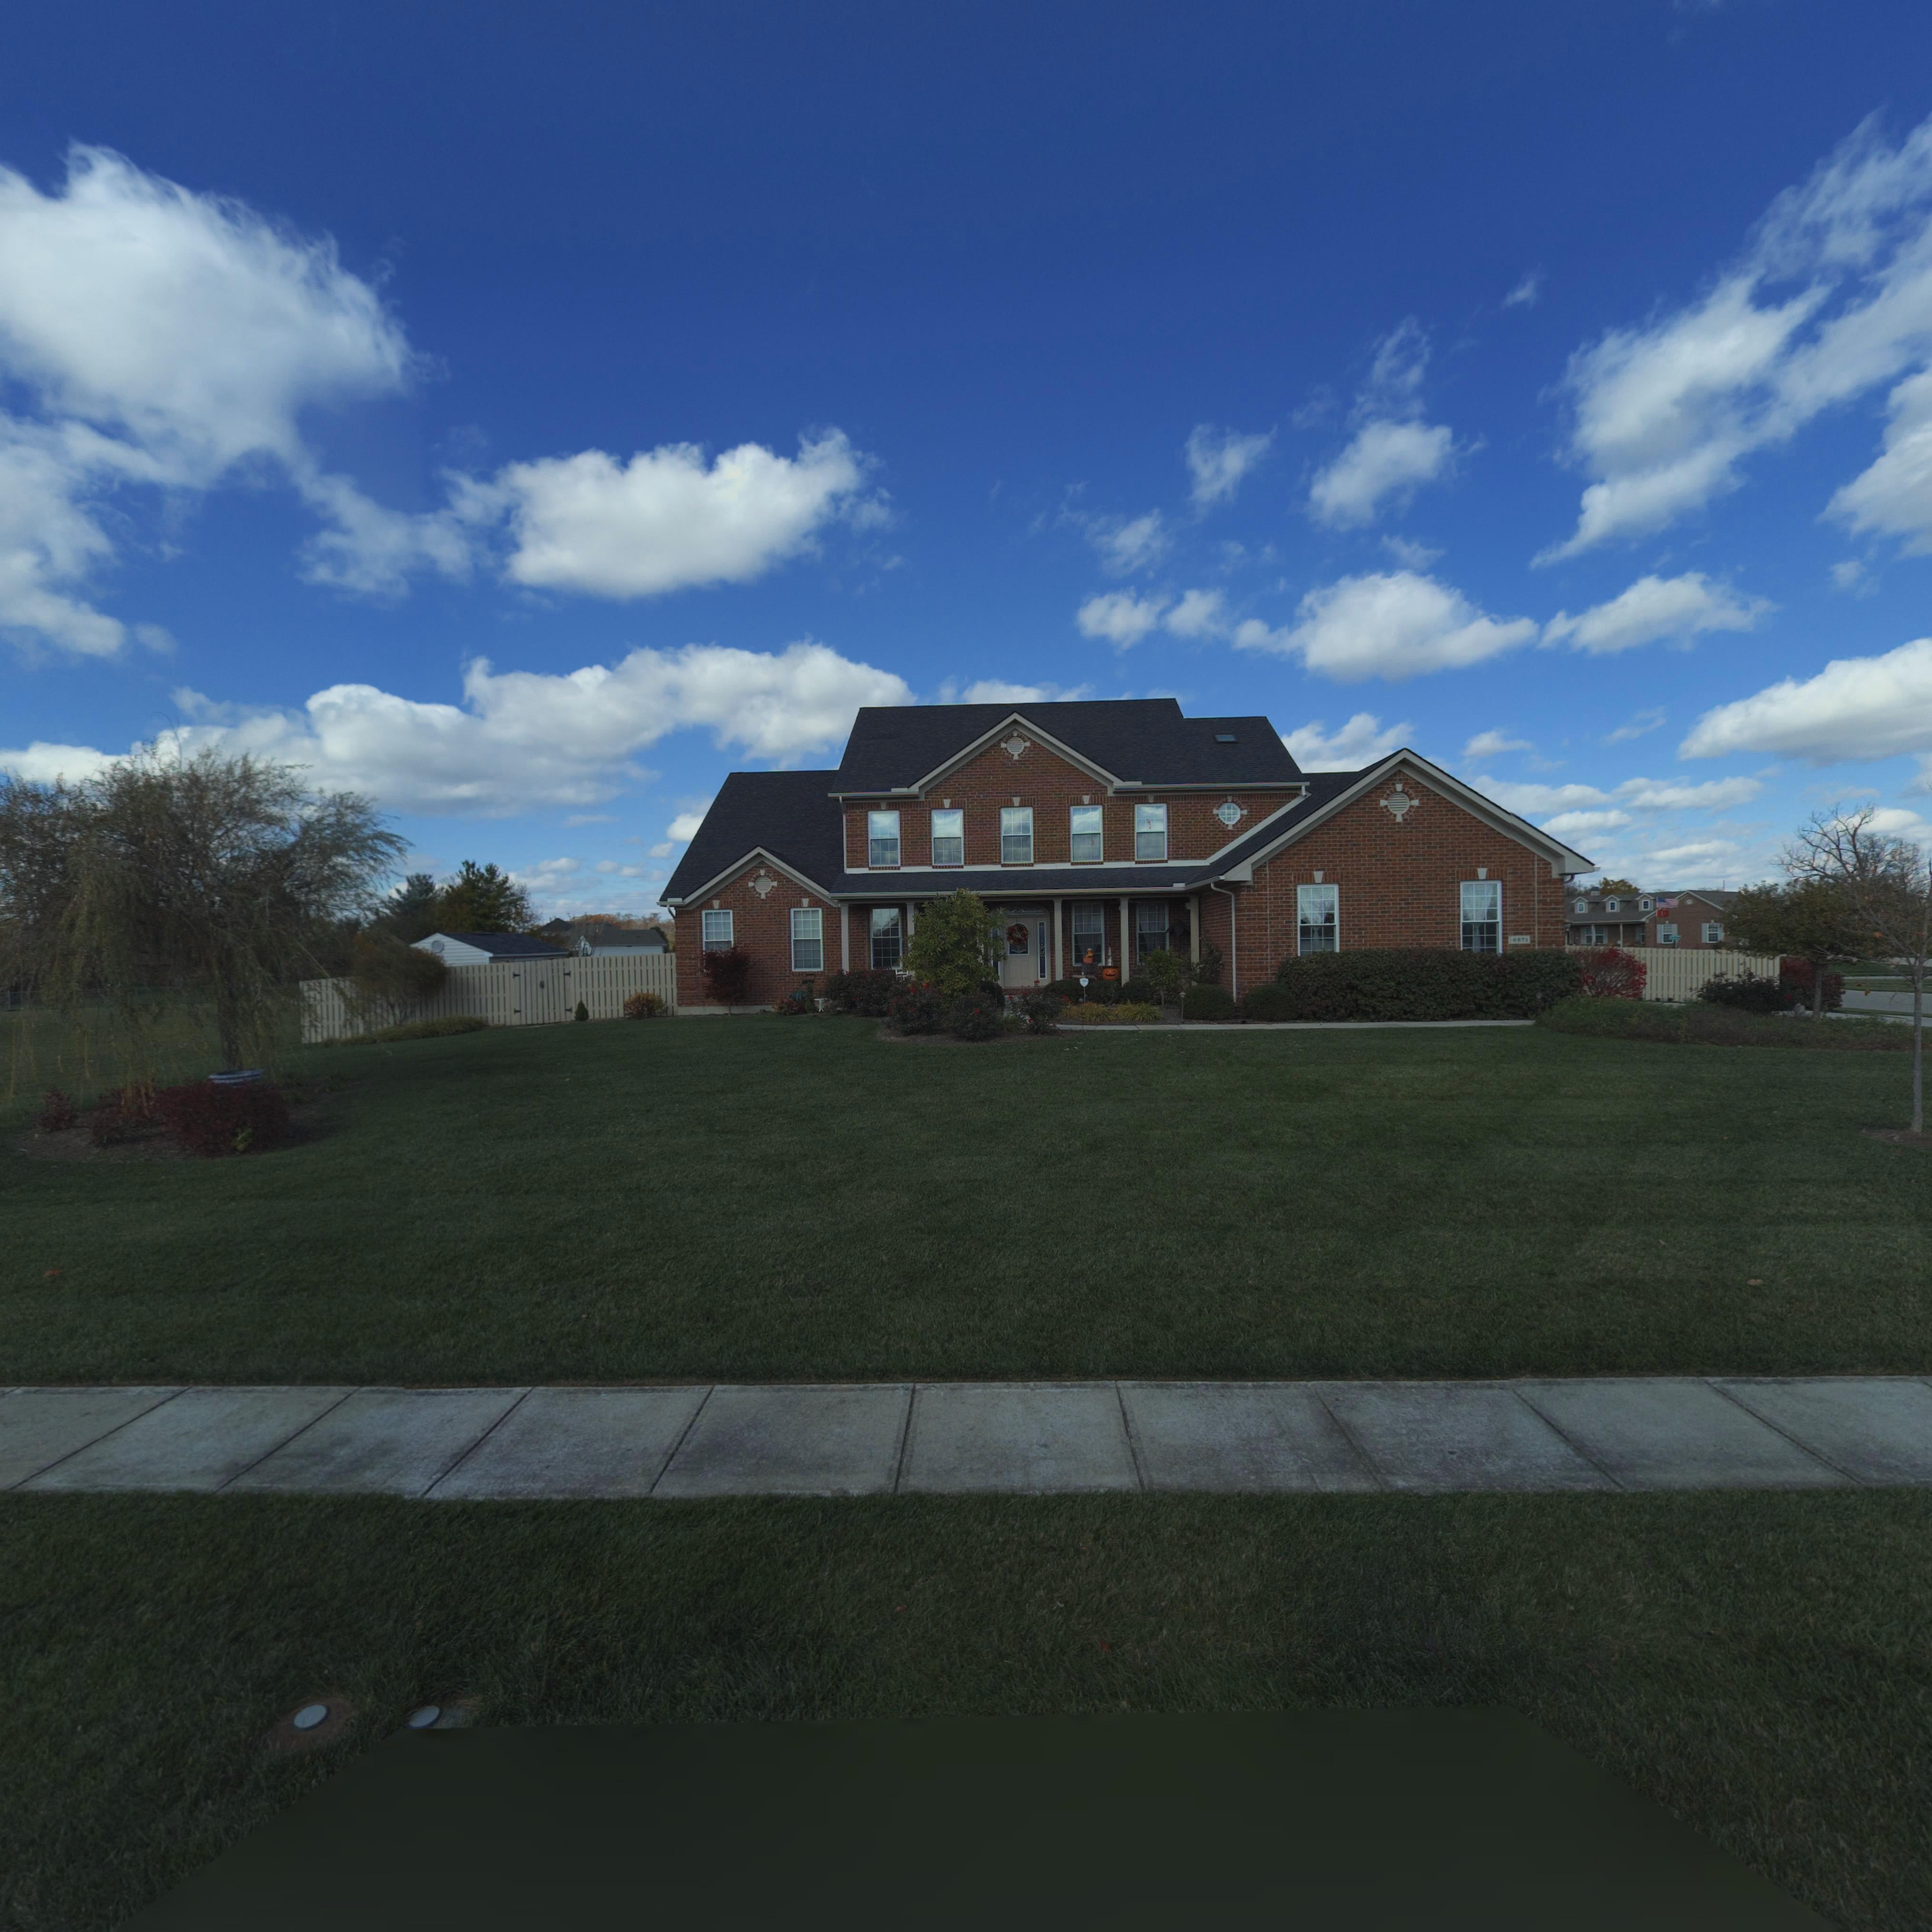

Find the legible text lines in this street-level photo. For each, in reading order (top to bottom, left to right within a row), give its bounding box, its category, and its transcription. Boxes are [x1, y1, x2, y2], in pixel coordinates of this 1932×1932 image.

[1511, 937, 1529, 943] StreetNumber: 6871